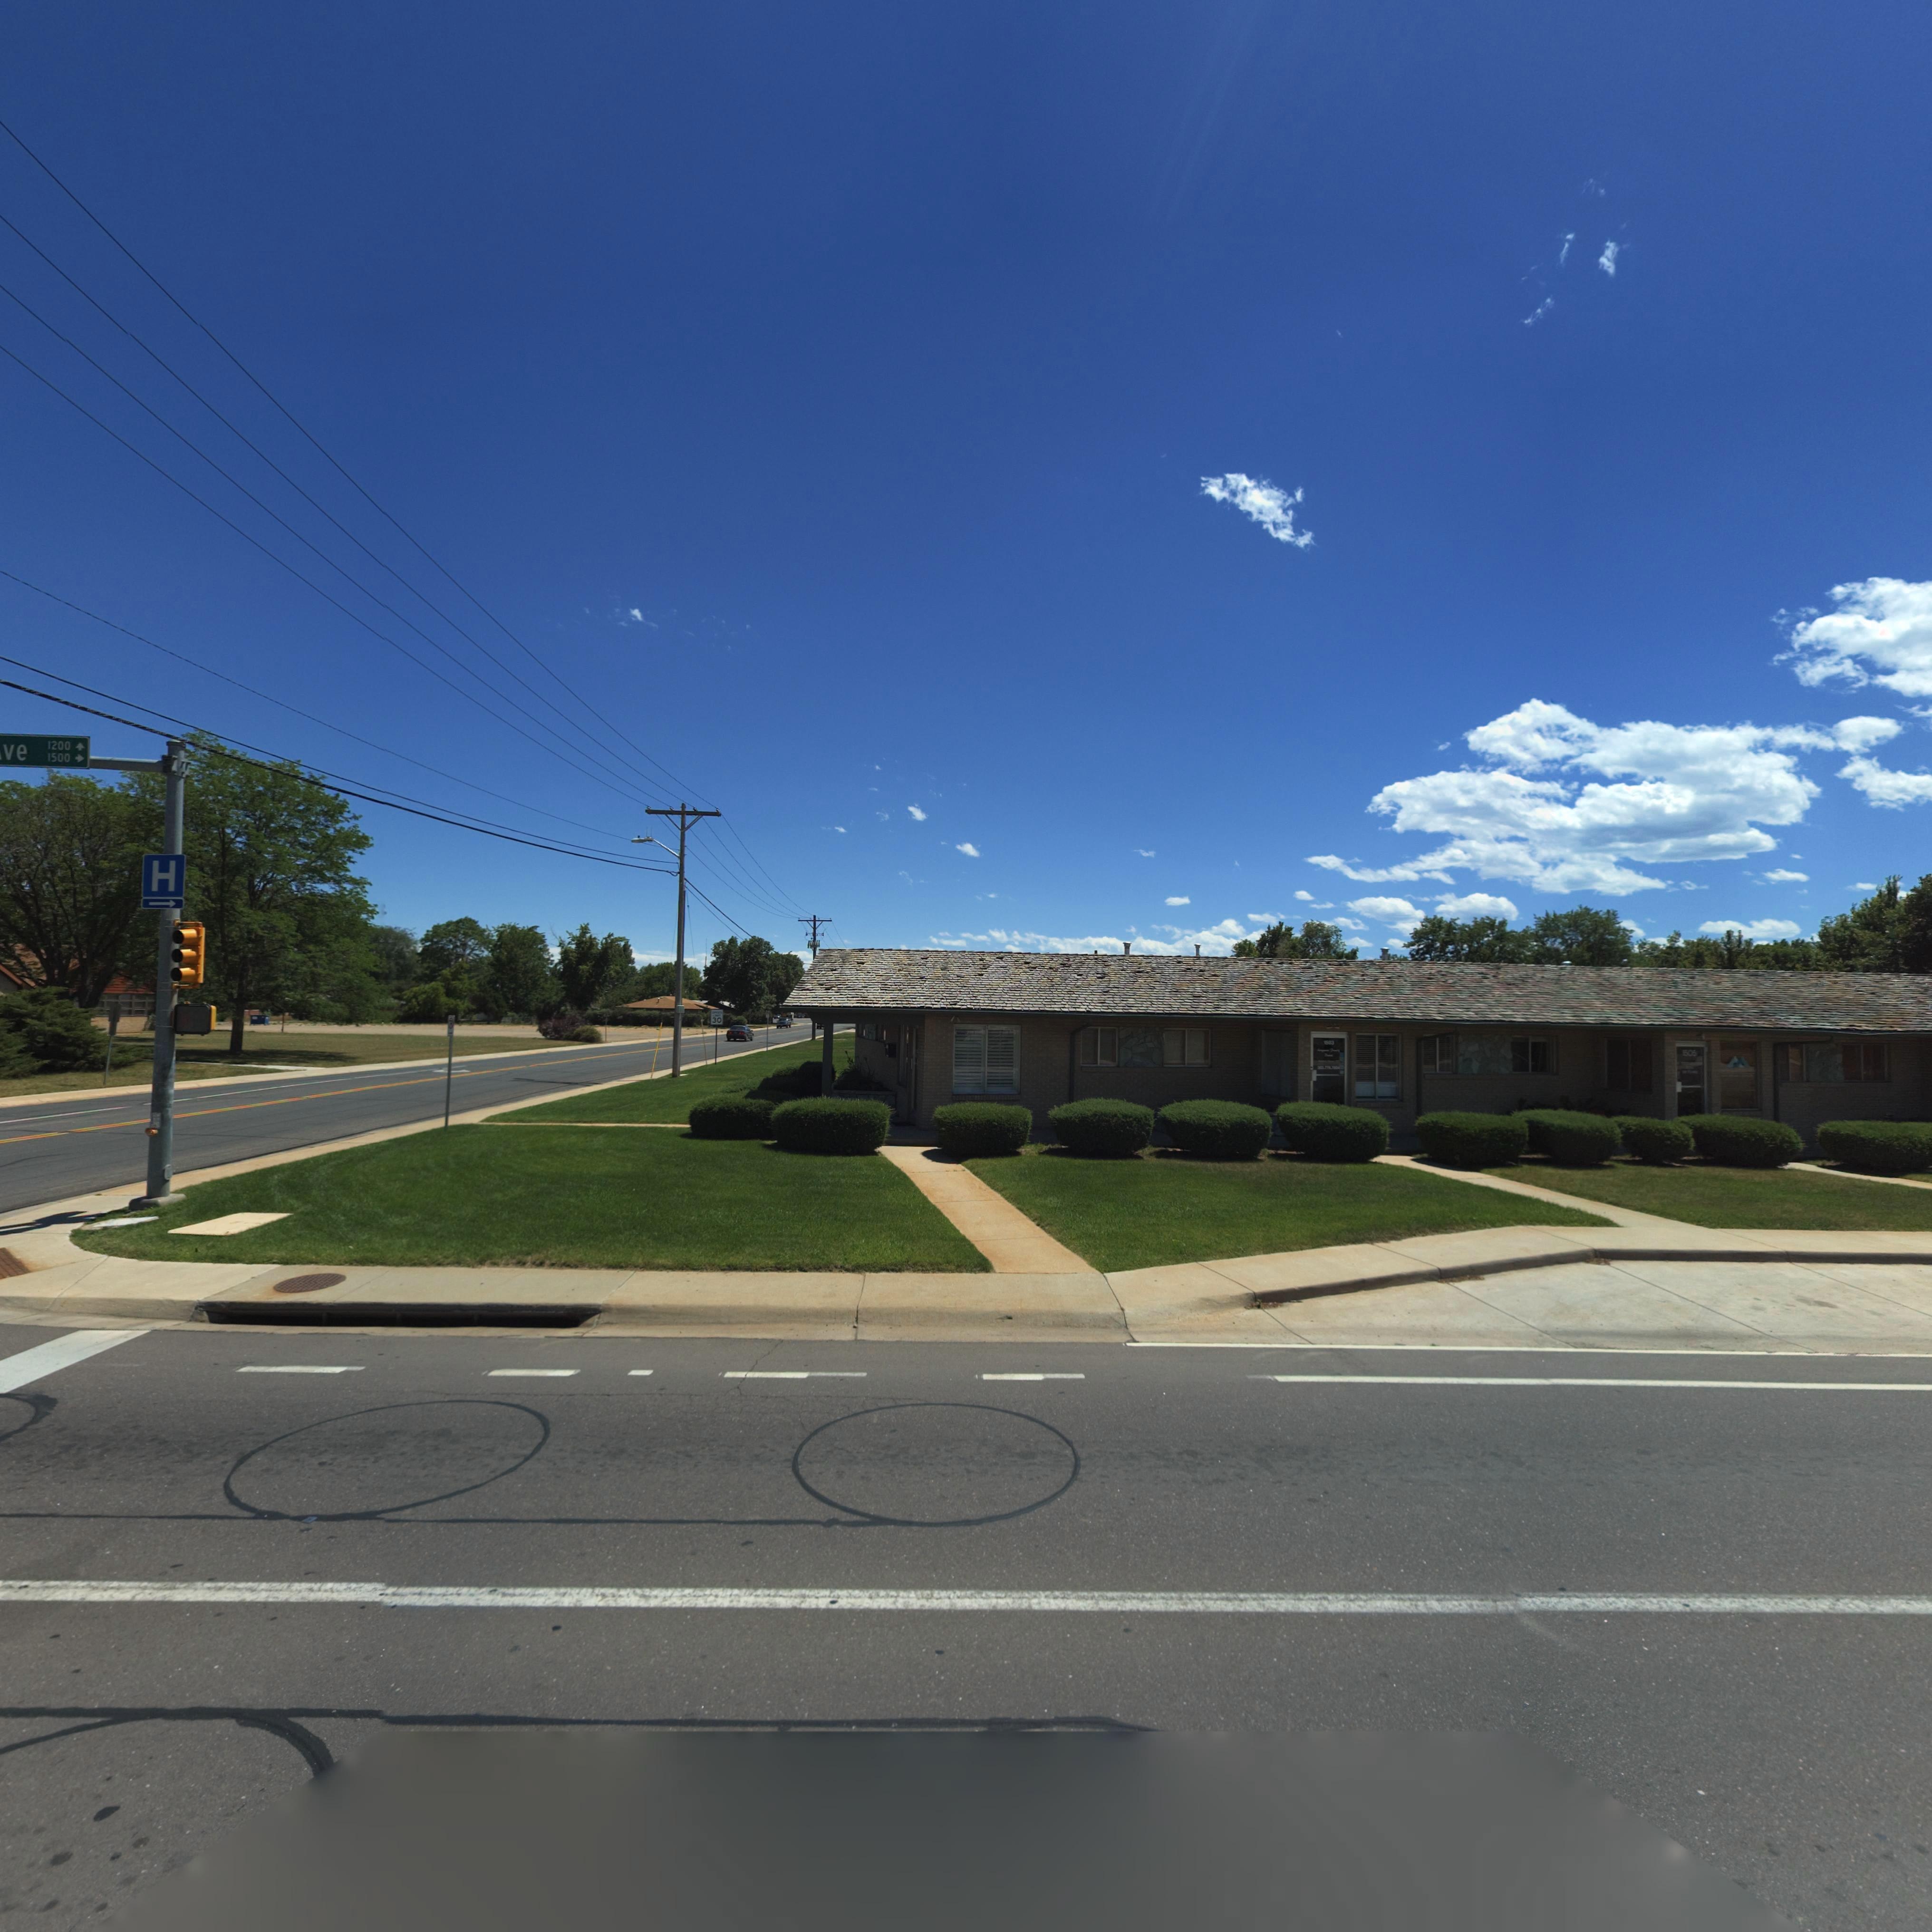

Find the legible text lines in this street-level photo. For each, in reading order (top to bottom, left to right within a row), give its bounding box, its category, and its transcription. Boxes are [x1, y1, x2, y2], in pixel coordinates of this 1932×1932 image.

[46, 740, 70, 750] StreetNumberRange: 1200
[1, 743, 27, 762] StreetNumberRange: ve
[47, 752, 85, 763] StreetNumberRange: 1500->